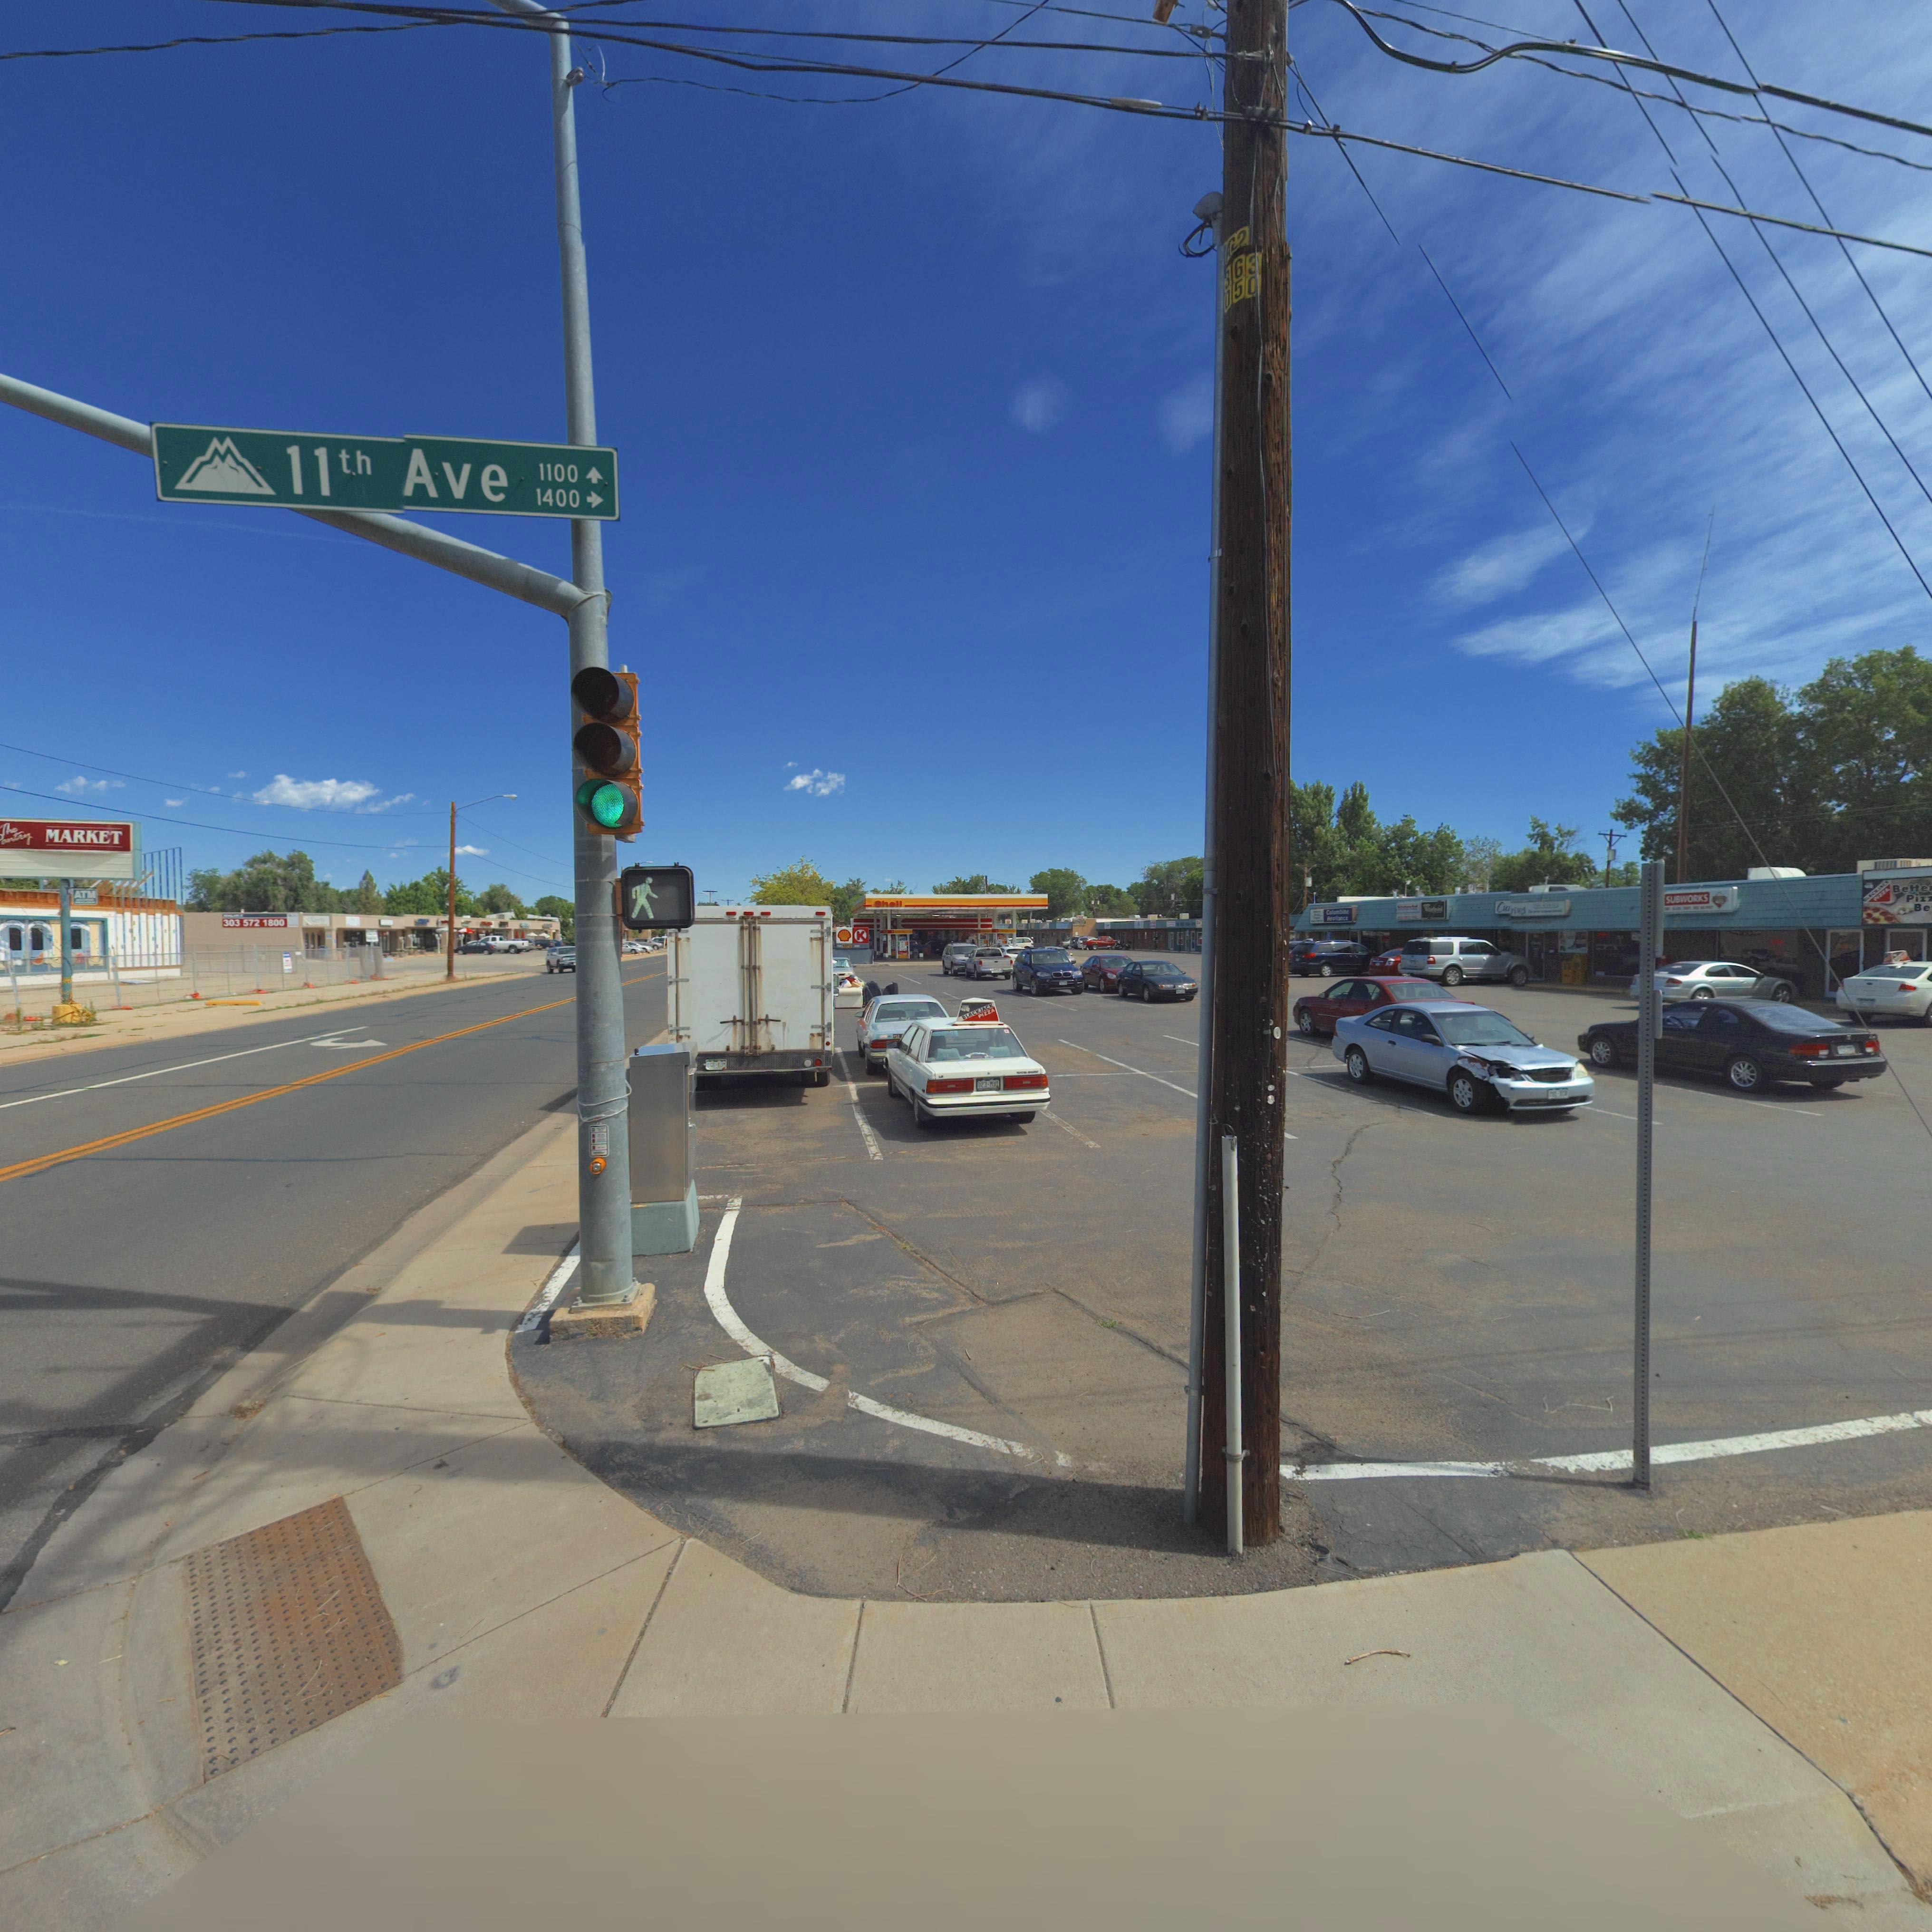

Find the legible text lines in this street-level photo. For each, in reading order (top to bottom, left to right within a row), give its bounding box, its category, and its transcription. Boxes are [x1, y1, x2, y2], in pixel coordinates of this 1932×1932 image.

[283, 442, 510, 504] StreetName: 11th Ave
[538, 461, 579, 483] StreetNumberRange: 1100
[535, 486, 605, 510] StreetNumberRange: 1400 ->
[0, 822, 18, 836] BusinessName: The
[0, 831, 32, 846] BusinessName: antry
[44, 828, 124, 844] BusinessName: MARKET
[874, 900, 902, 908] BusinessName: Shell
[1325, 909, 1349, 915] BusinessName: Columbine
[1326, 915, 1348, 921] BusinessName: Appliance
[1495, 901, 1526, 915] BusinessName: Currves
[1665, 894, 1708, 904] BusinessName: SUBWORKS
[1862, 880, 1889, 903] BusinessName: **ACKJ*CK
[1873, 888, 1890, 901] BusinessName: **ZZA